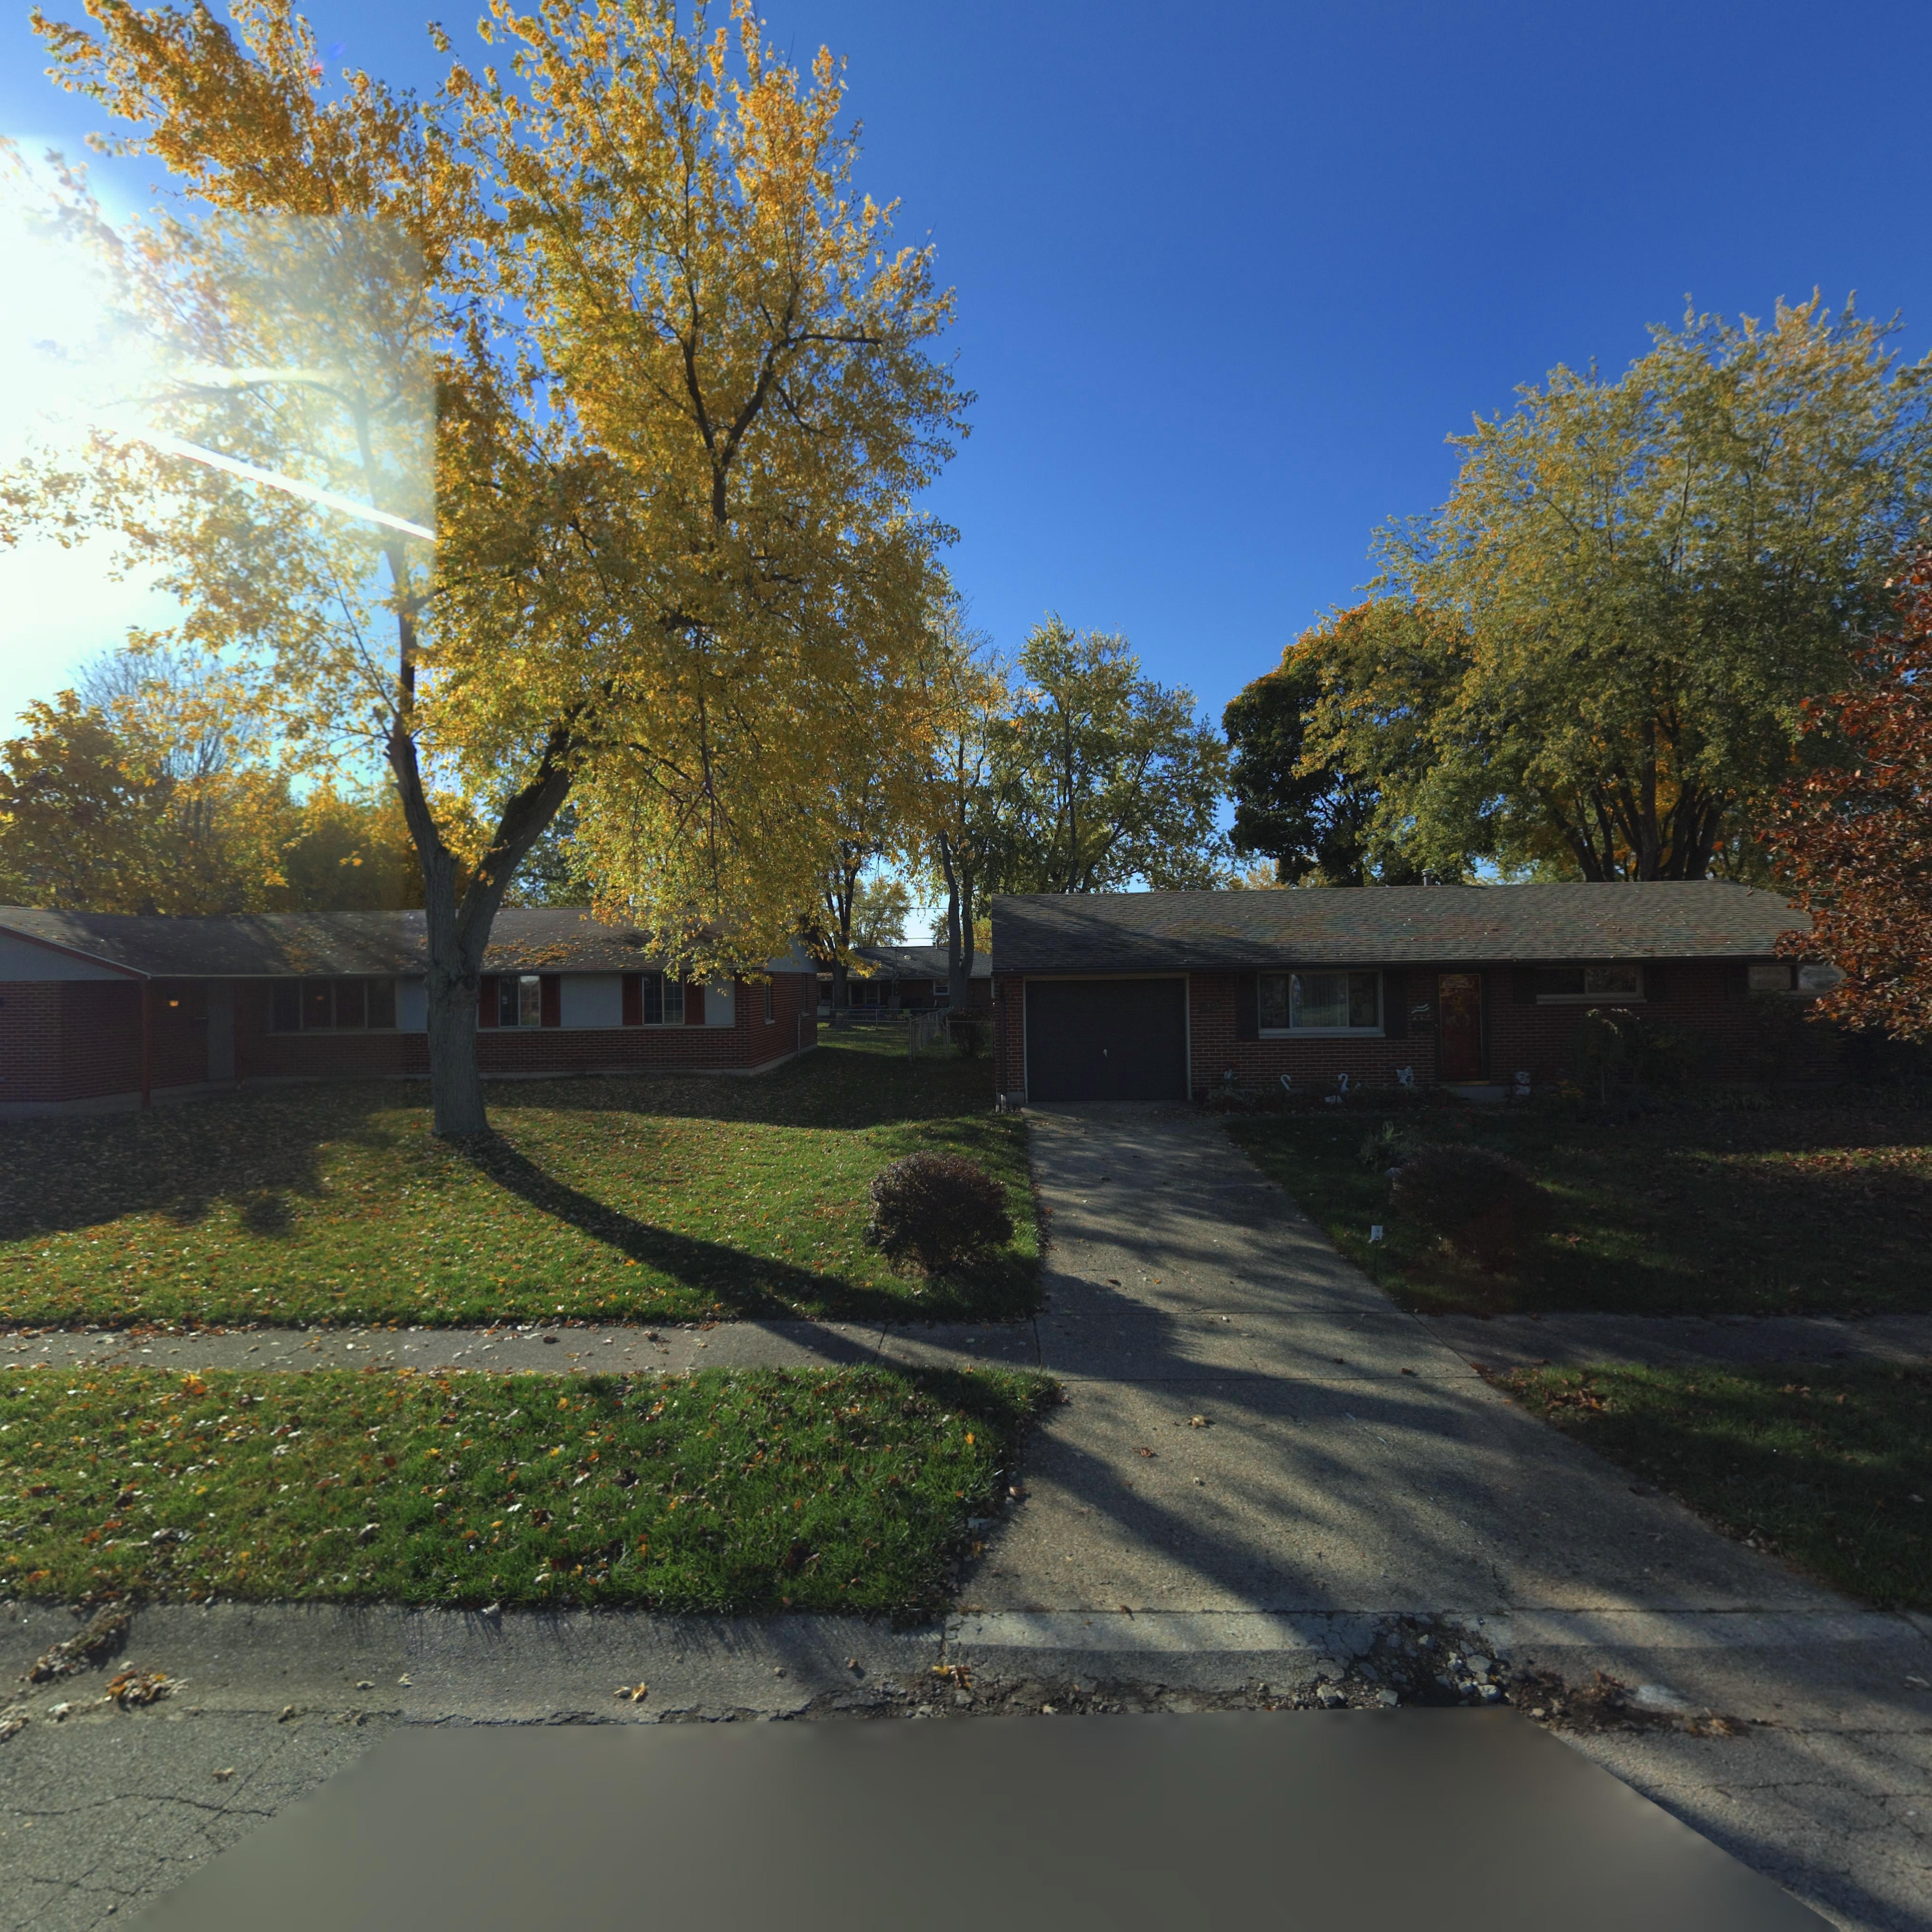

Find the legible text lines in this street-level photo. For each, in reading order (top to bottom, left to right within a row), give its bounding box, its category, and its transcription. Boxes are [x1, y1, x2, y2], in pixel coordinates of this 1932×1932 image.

[1204, 1002, 1212, 1011] StreetNumber: 9